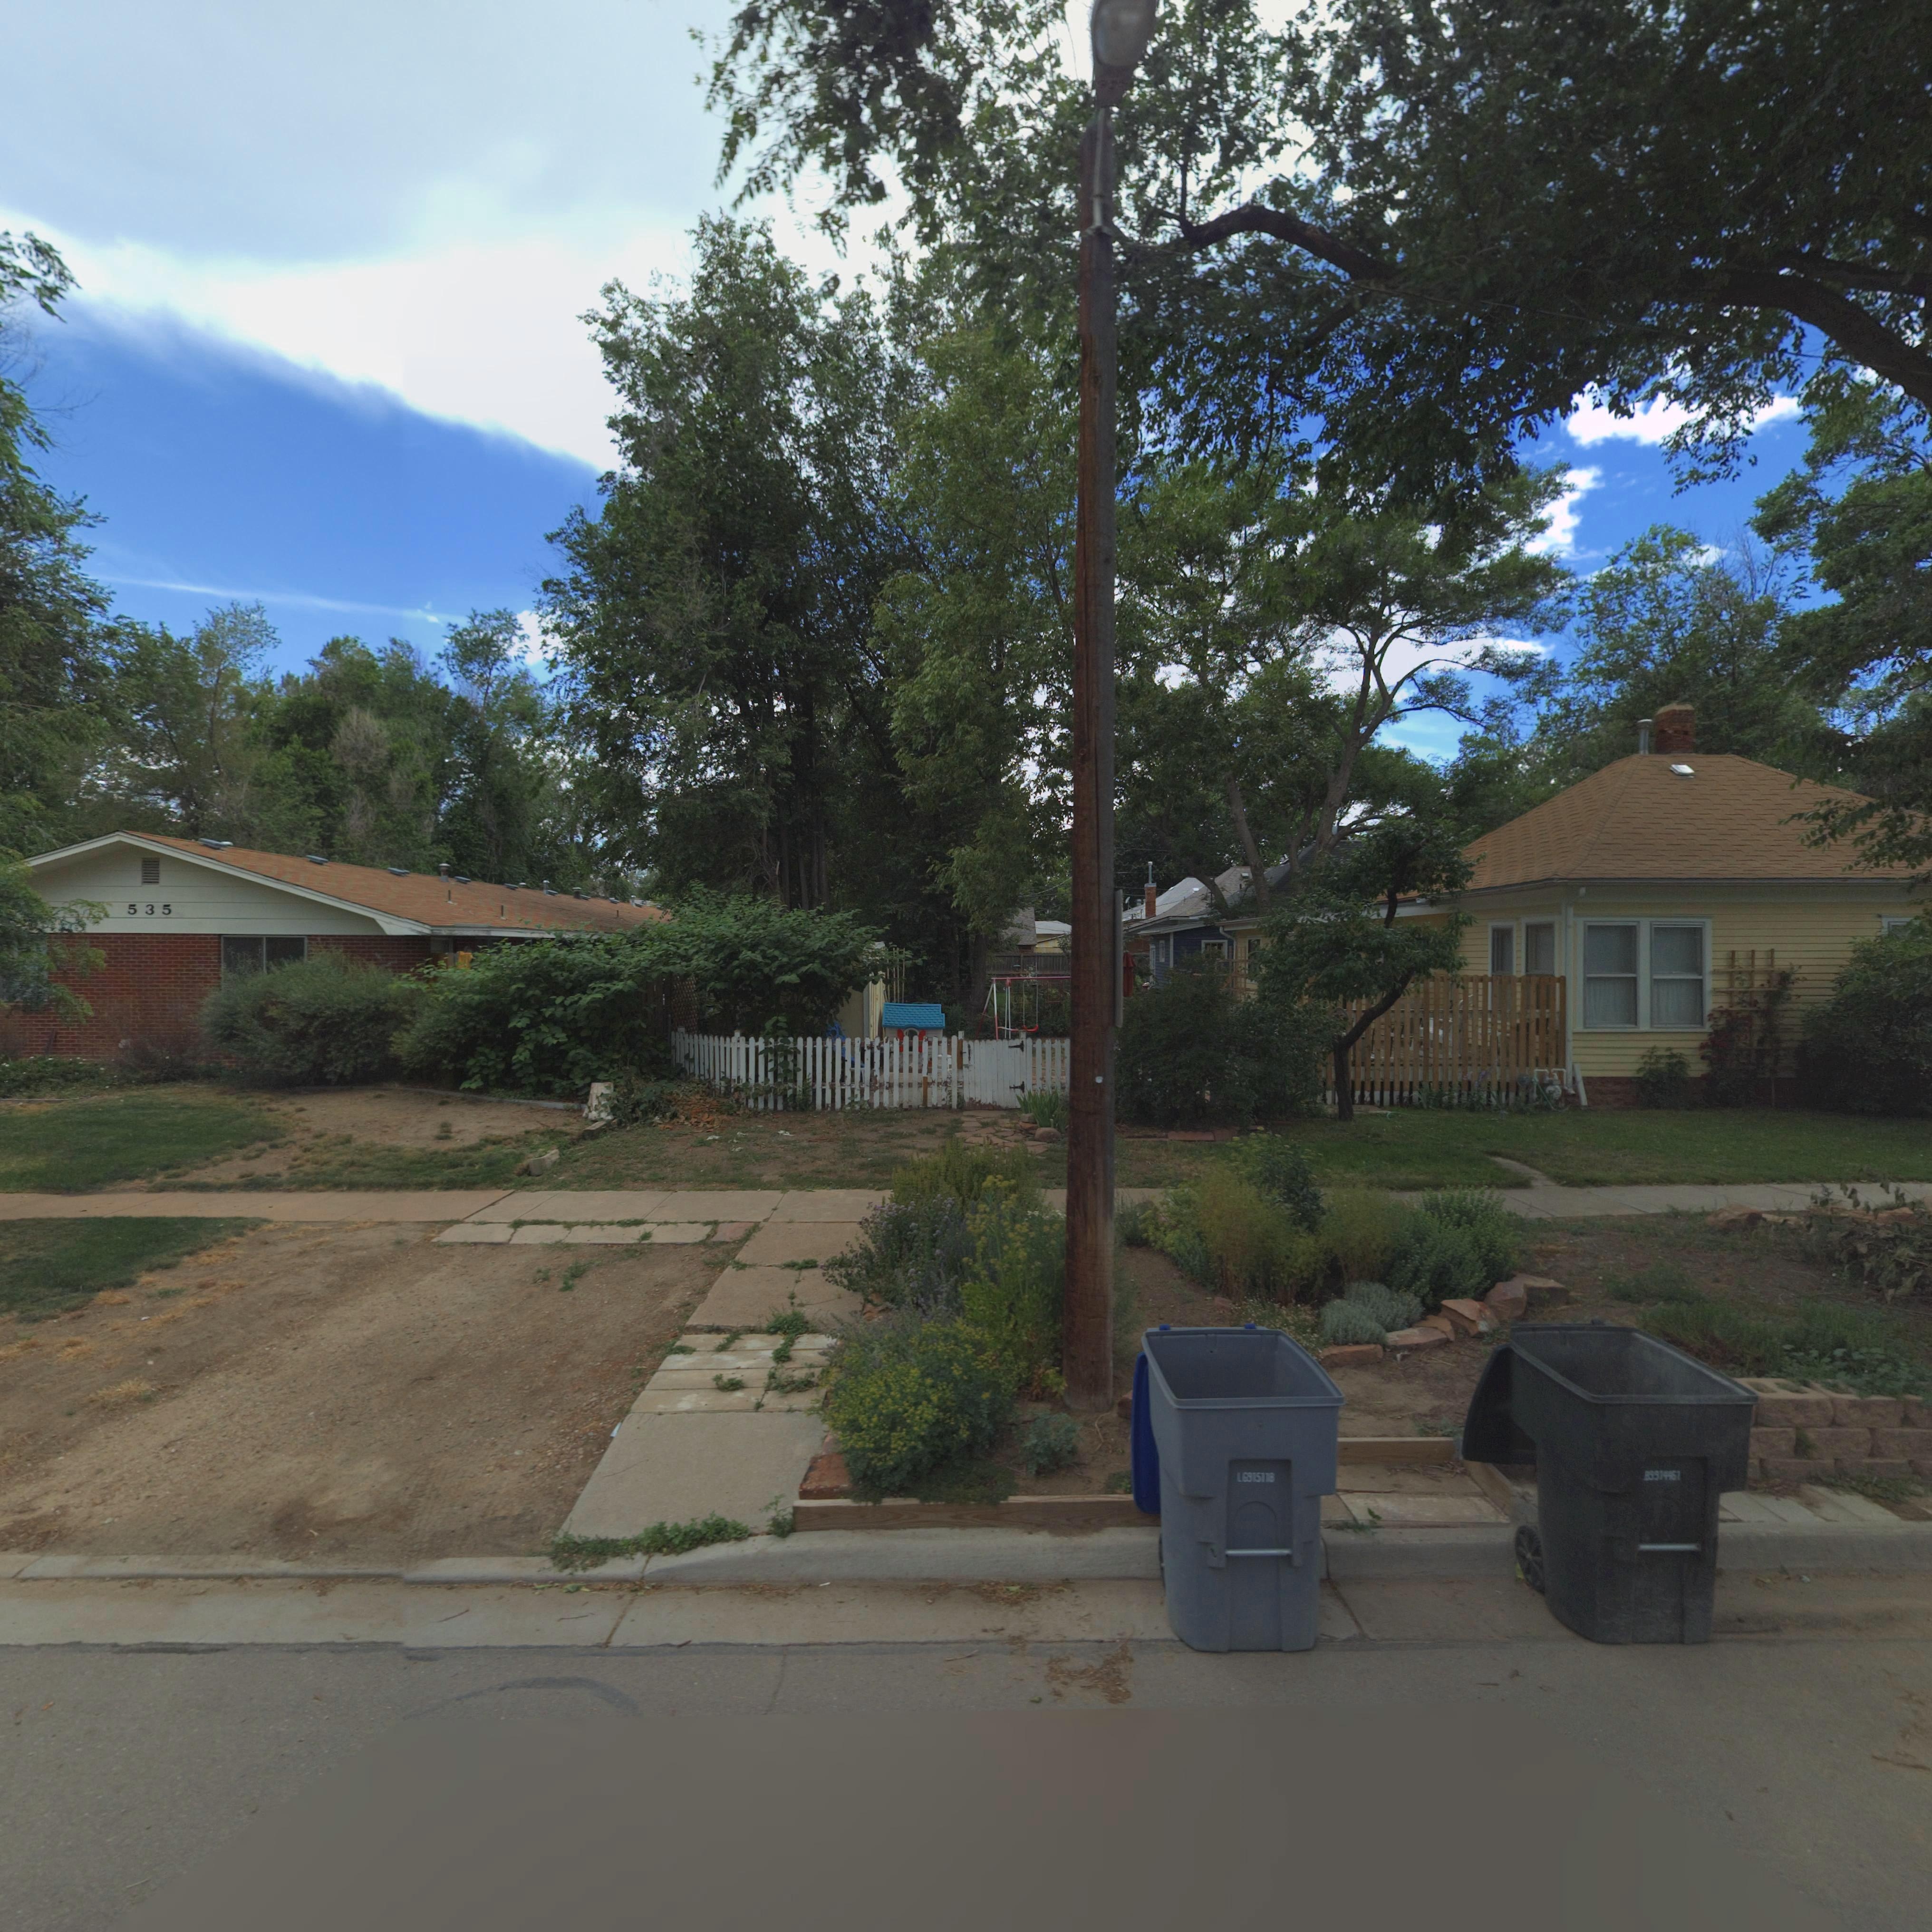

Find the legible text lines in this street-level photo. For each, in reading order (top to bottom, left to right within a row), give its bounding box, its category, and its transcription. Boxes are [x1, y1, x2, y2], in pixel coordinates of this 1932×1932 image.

[127, 904, 172, 915] StreetNumber: 535